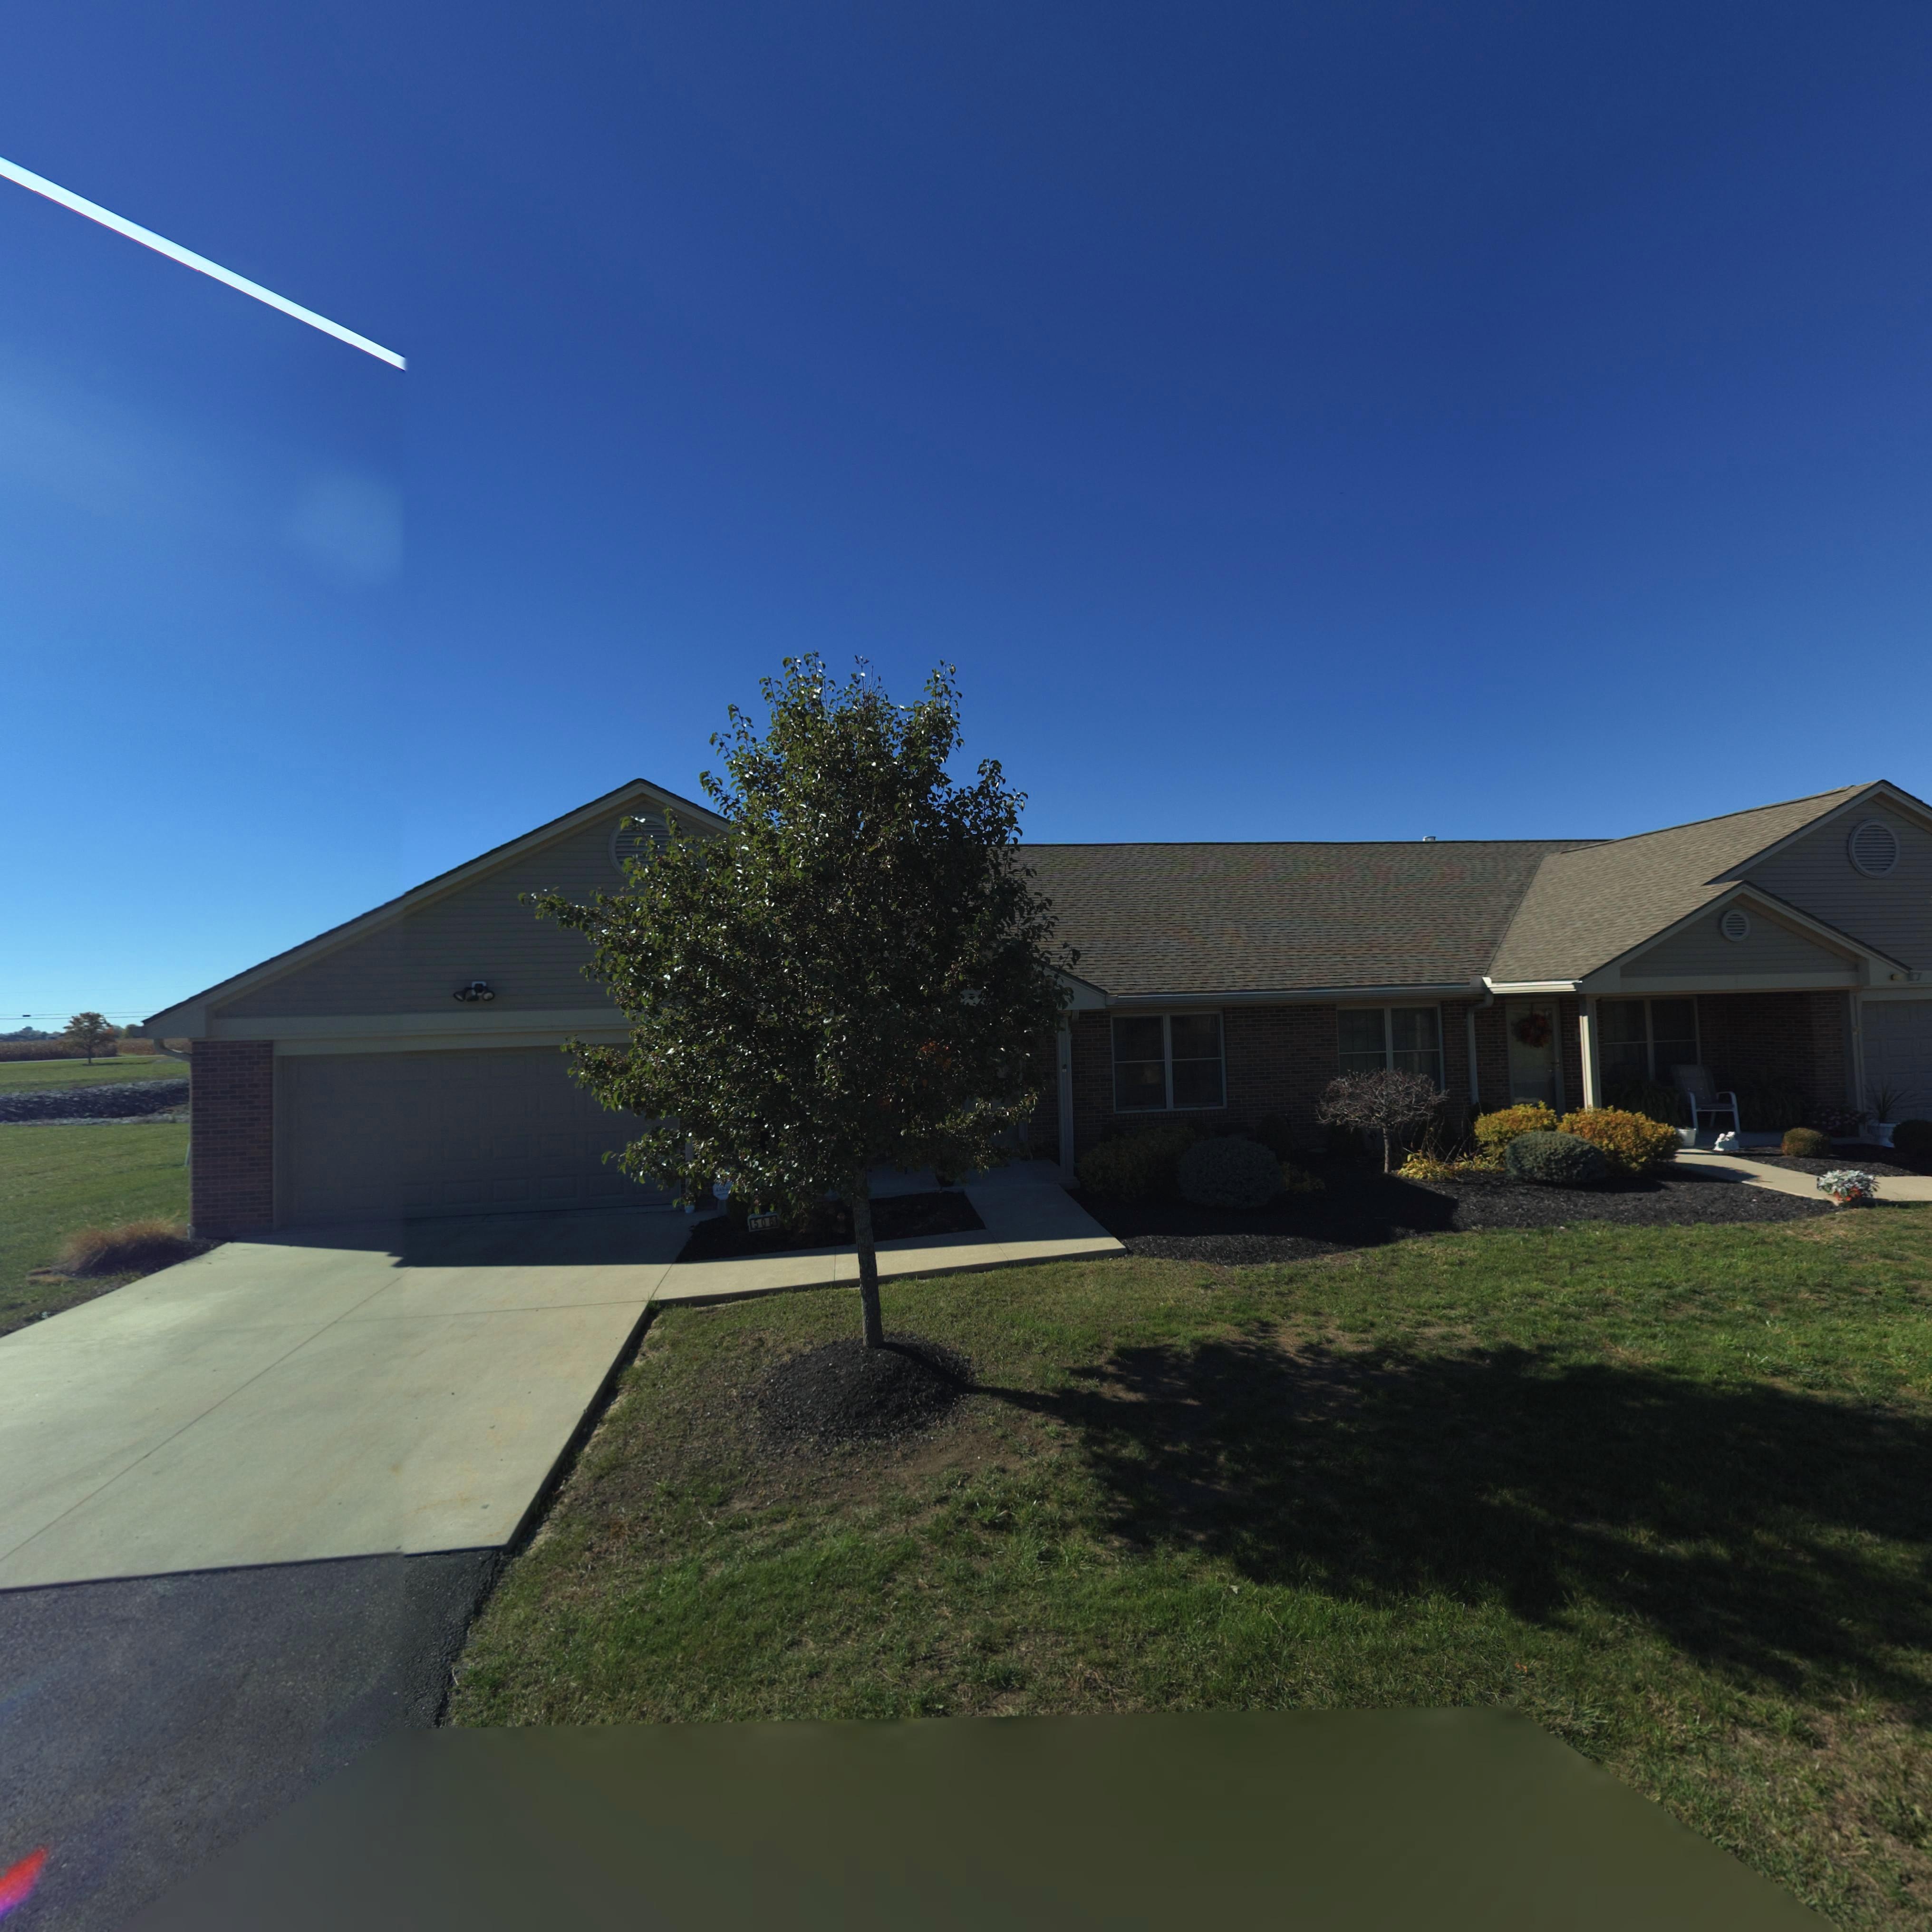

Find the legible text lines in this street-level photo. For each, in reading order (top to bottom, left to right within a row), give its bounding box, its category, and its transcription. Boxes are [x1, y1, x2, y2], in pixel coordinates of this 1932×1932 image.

[753, 1217, 774, 1229] StreetNumber: 506